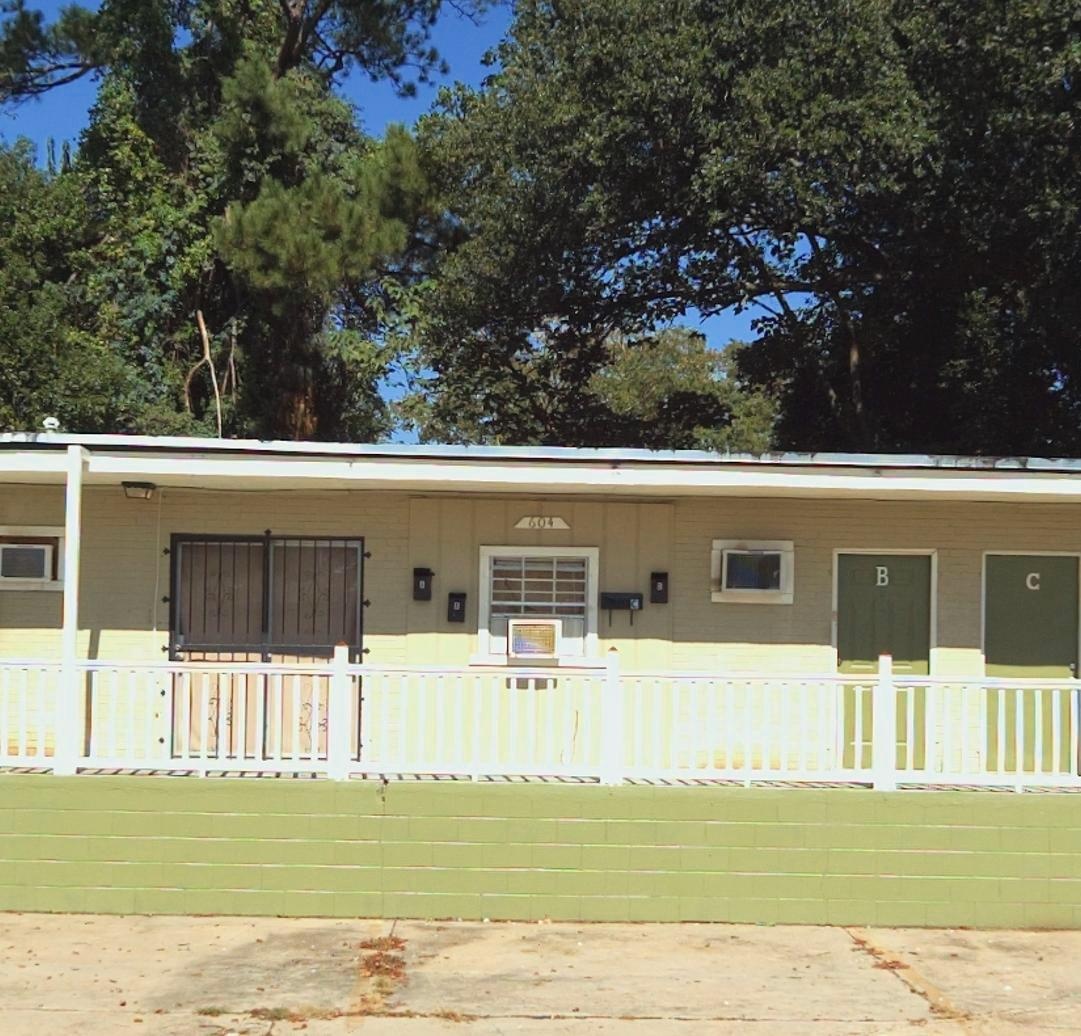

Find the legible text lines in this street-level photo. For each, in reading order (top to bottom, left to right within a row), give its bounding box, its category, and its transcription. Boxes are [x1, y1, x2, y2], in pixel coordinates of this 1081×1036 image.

[528, 516, 555, 529] StreetNumber: 604
[874, 565, 889, 587] StreetNumber: B
[1025, 571, 1041, 591] StreetNumber: C